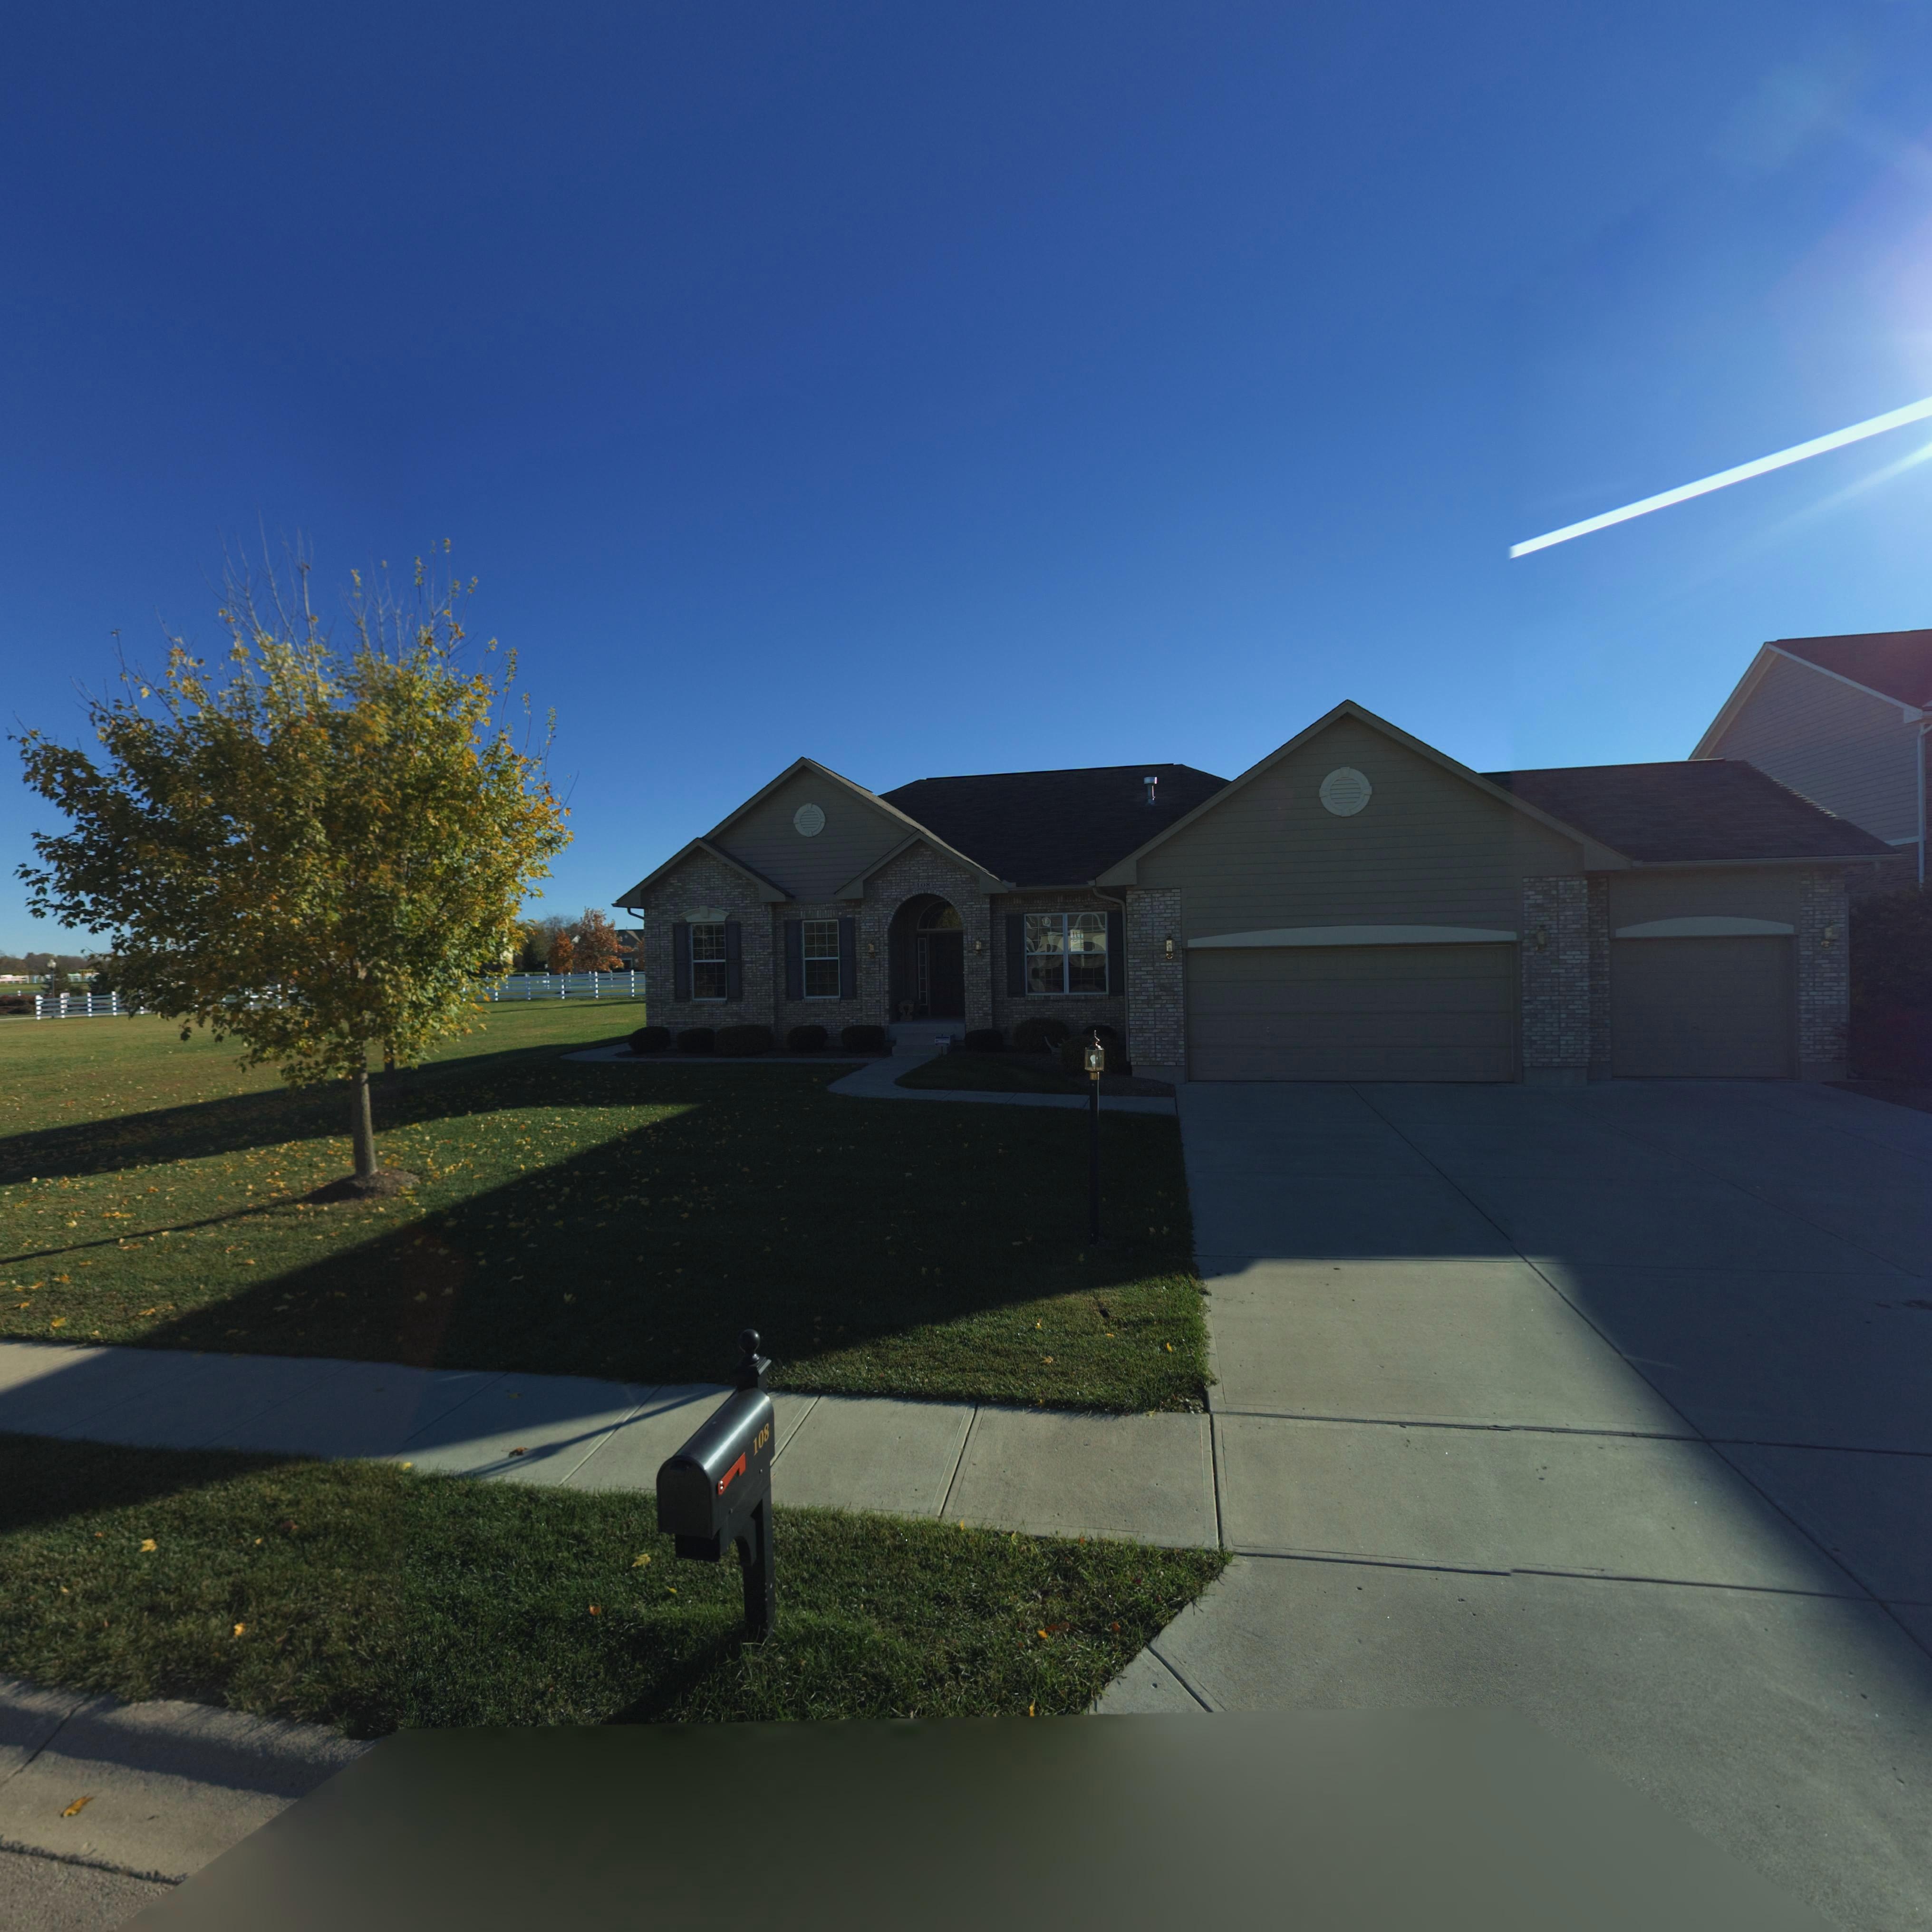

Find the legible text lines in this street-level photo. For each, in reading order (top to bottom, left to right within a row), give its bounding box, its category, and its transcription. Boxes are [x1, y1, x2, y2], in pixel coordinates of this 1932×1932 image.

[753, 1422, 771, 1457] StreetNumber: 108